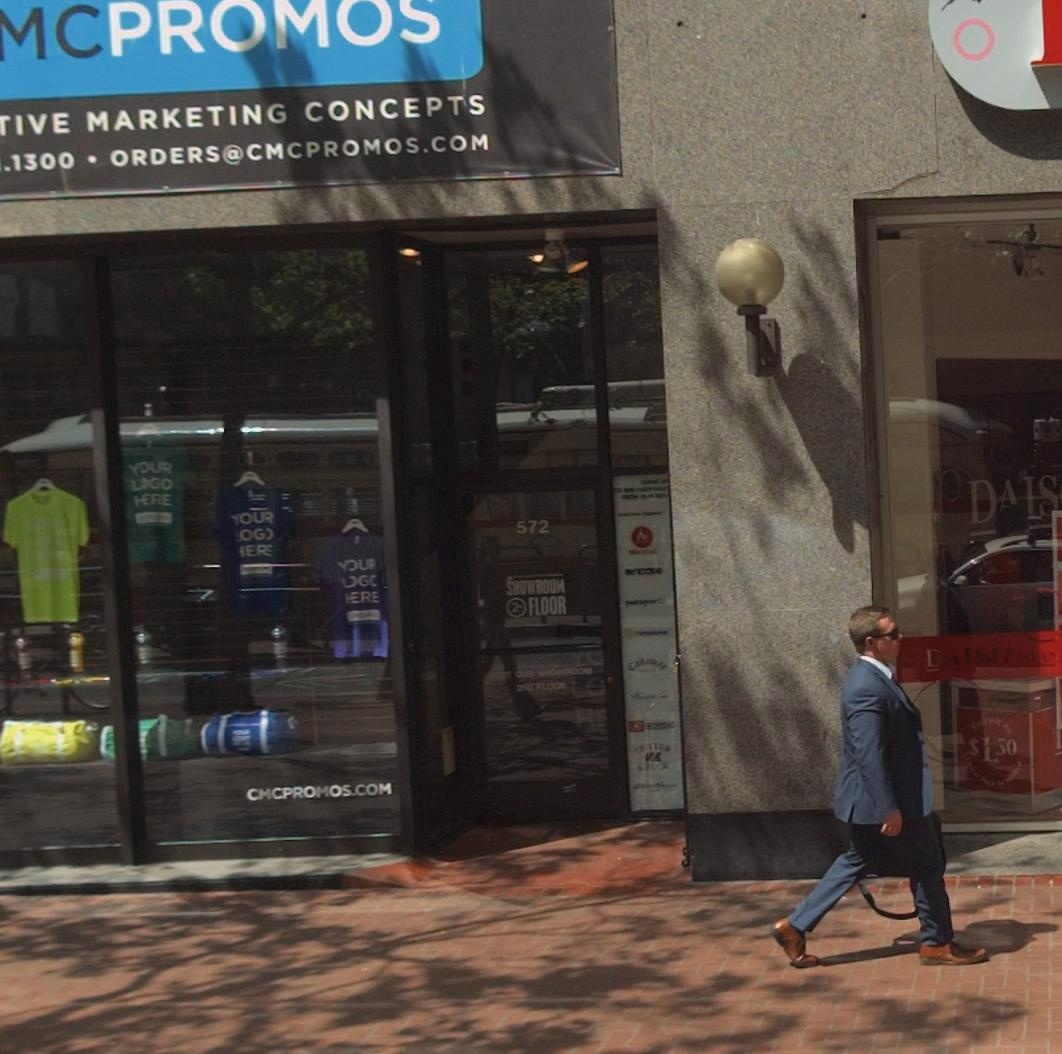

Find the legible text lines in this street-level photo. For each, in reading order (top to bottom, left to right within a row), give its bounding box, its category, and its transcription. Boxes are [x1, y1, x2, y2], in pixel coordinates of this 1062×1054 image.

[53, 0, 335, 59] BusinessName: CPROM
[11, 91, 487, 139] None: IVE MARKETING CONCEPTS
[10, 131, 490, 174] None: 1300 * ORDERS@CMCPROMOS.COM
[127, 458, 174, 478] None: YOUR
[129, 474, 175, 492] None: LOGO
[132, 491, 173, 508] None: HERE
[966, 472, 1060, 526] BusinessName: D*IS
[237, 527, 266, 543] None: OG
[229, 509, 276, 527] None: YOUR
[514, 516, 551, 537] StreetNumber: 572
[243, 543, 270, 557] None: ER
[335, 557, 378, 573] None: Y*U*
[342, 589, 380, 605] None: HERE
[357, 574, 378, 588] None: GC
[505, 577, 566, 598] None: SHOWROOM
[528, 594, 568, 617] None: FLOOR
[924, 643, 1011, 670] BusinessName: DAISO
[1014, 648, 1058, 665] None: JAPAN
[513, 668, 535, 680] None: OUR
[623, 657, 643, 676] None: CA
[515, 679, 567, 694] None: 2ND FLOOR
[968, 734, 1018, 764] None: $1.50
[244, 780, 393, 802] None: CMCPROMOS.COM